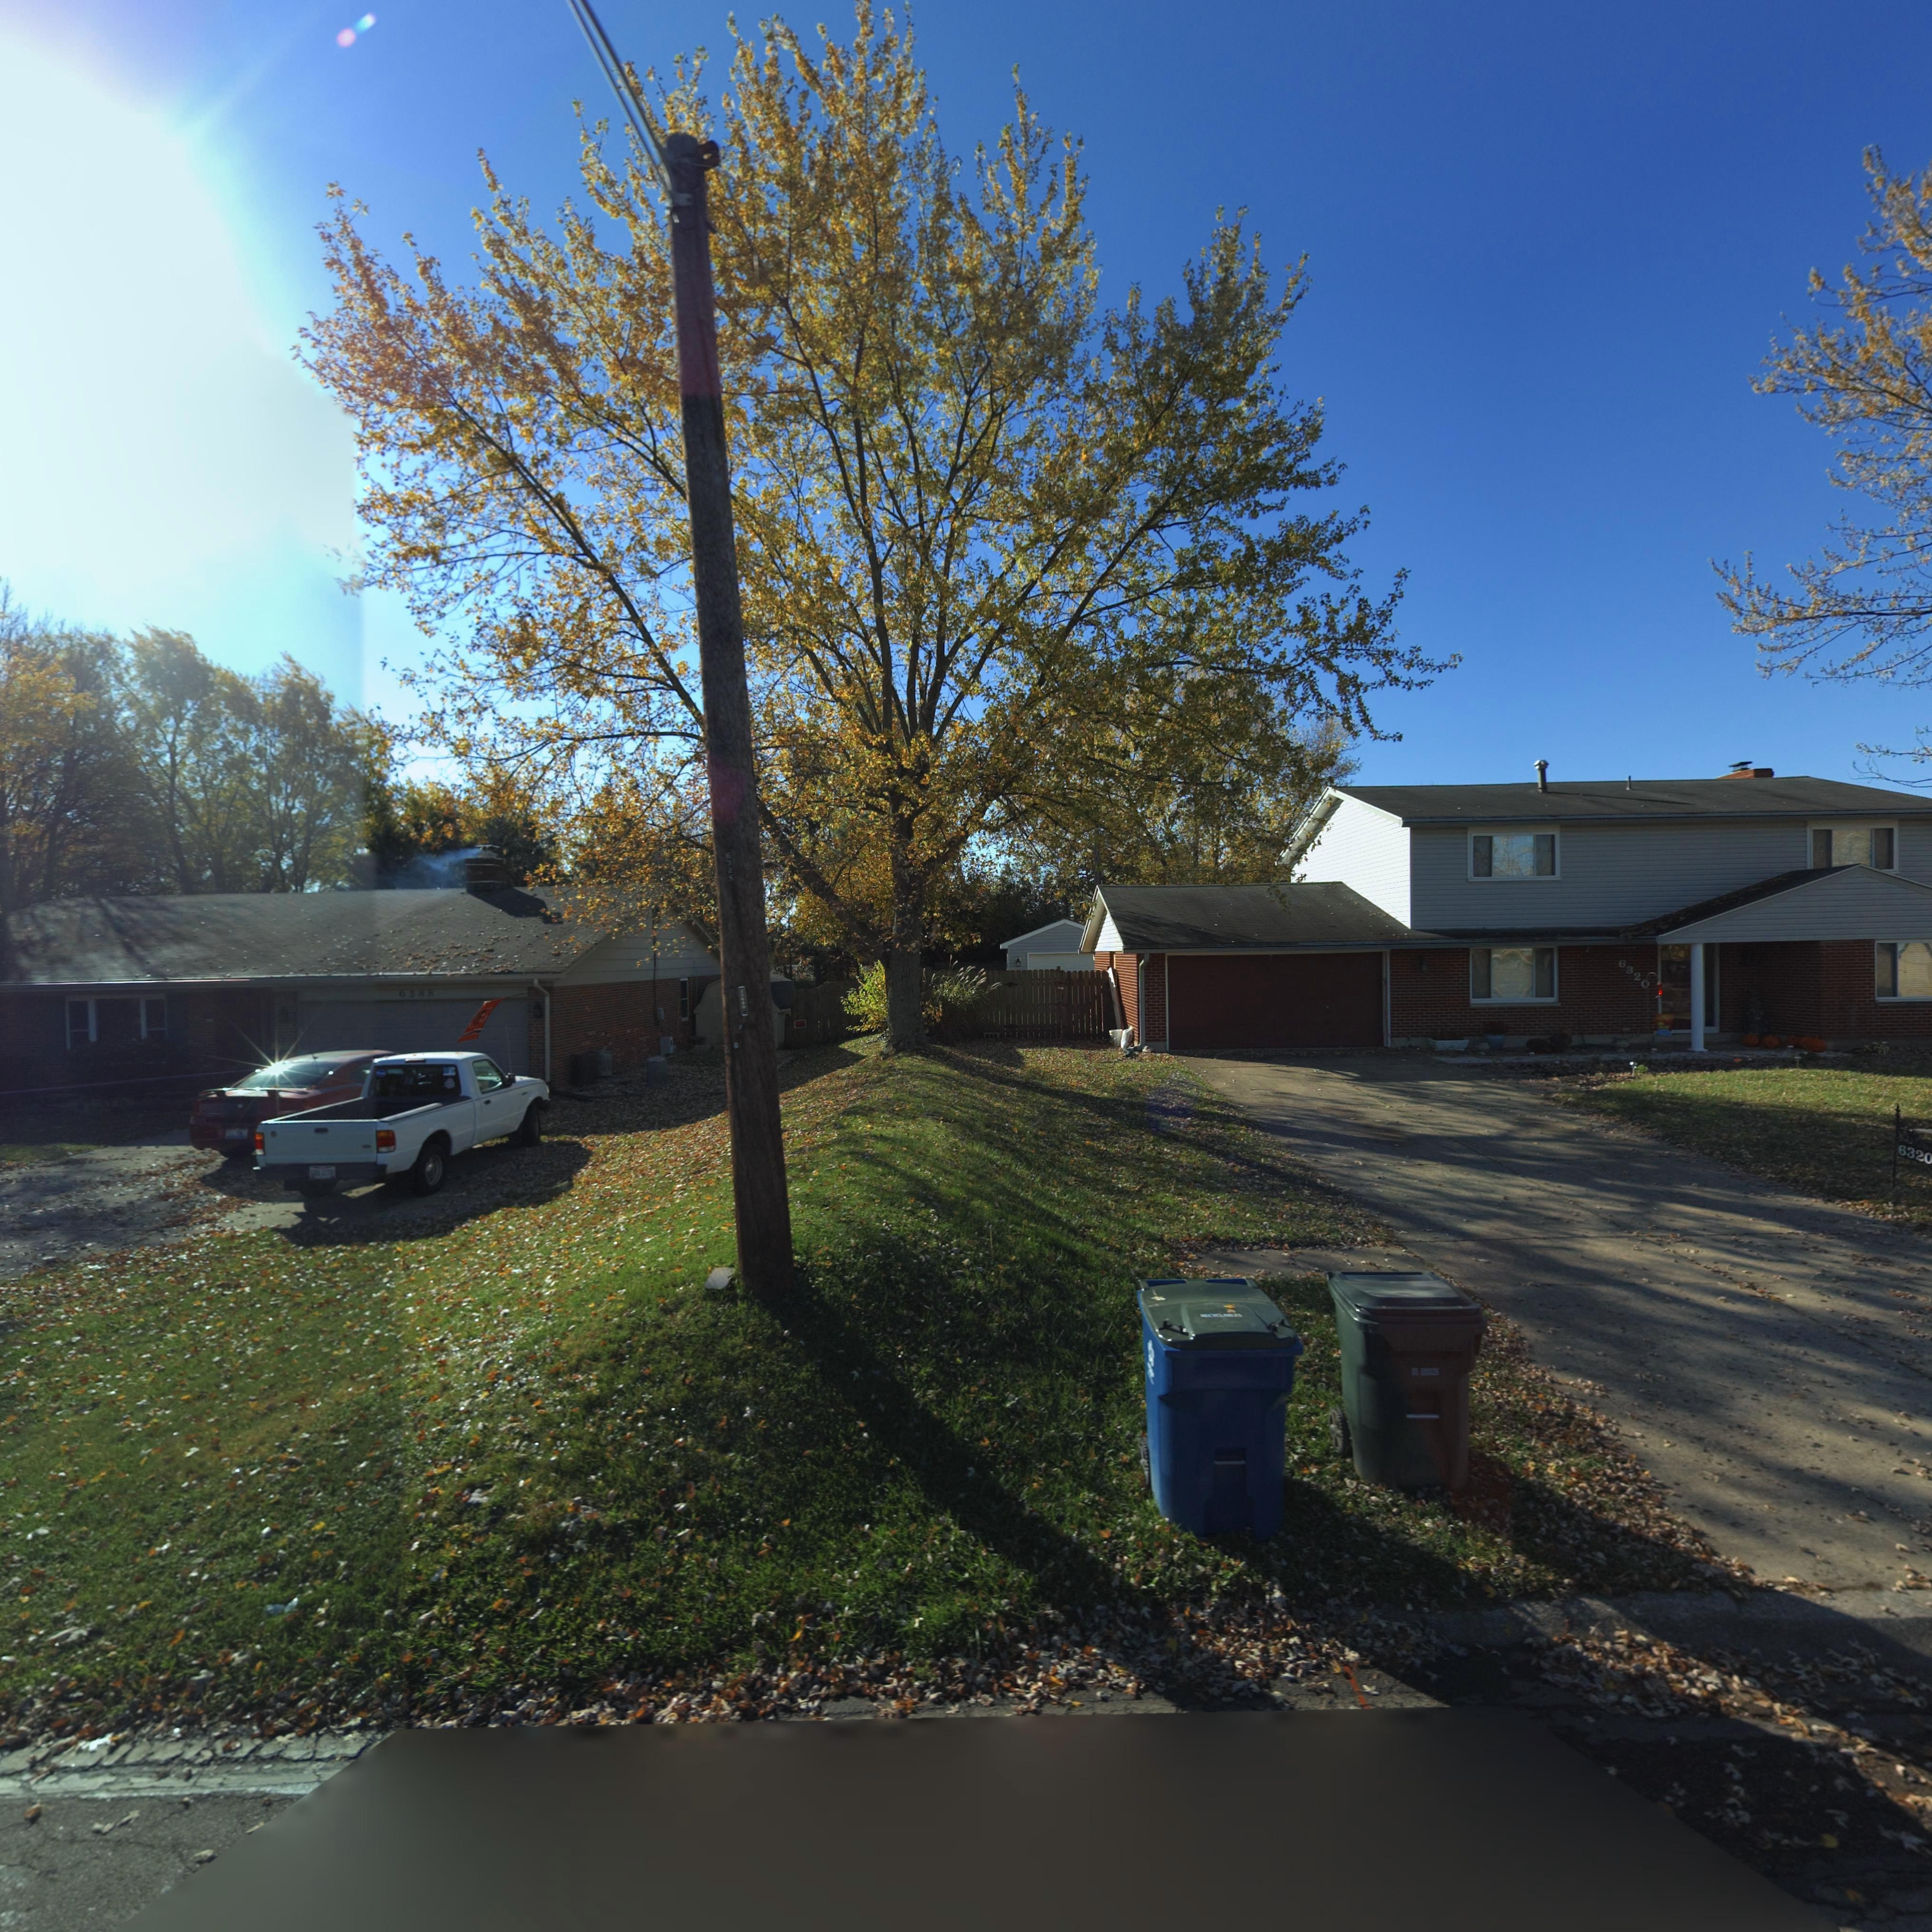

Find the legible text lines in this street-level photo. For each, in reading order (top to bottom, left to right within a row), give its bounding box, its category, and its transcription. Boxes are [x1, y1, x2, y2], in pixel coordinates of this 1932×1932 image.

[1617, 958, 1651, 990] StreetNumber: 6320
[396, 986, 436, 1000] StreetNumber: 6388
[1896, 1143, 1932, 1166] StreetNumber: 6320